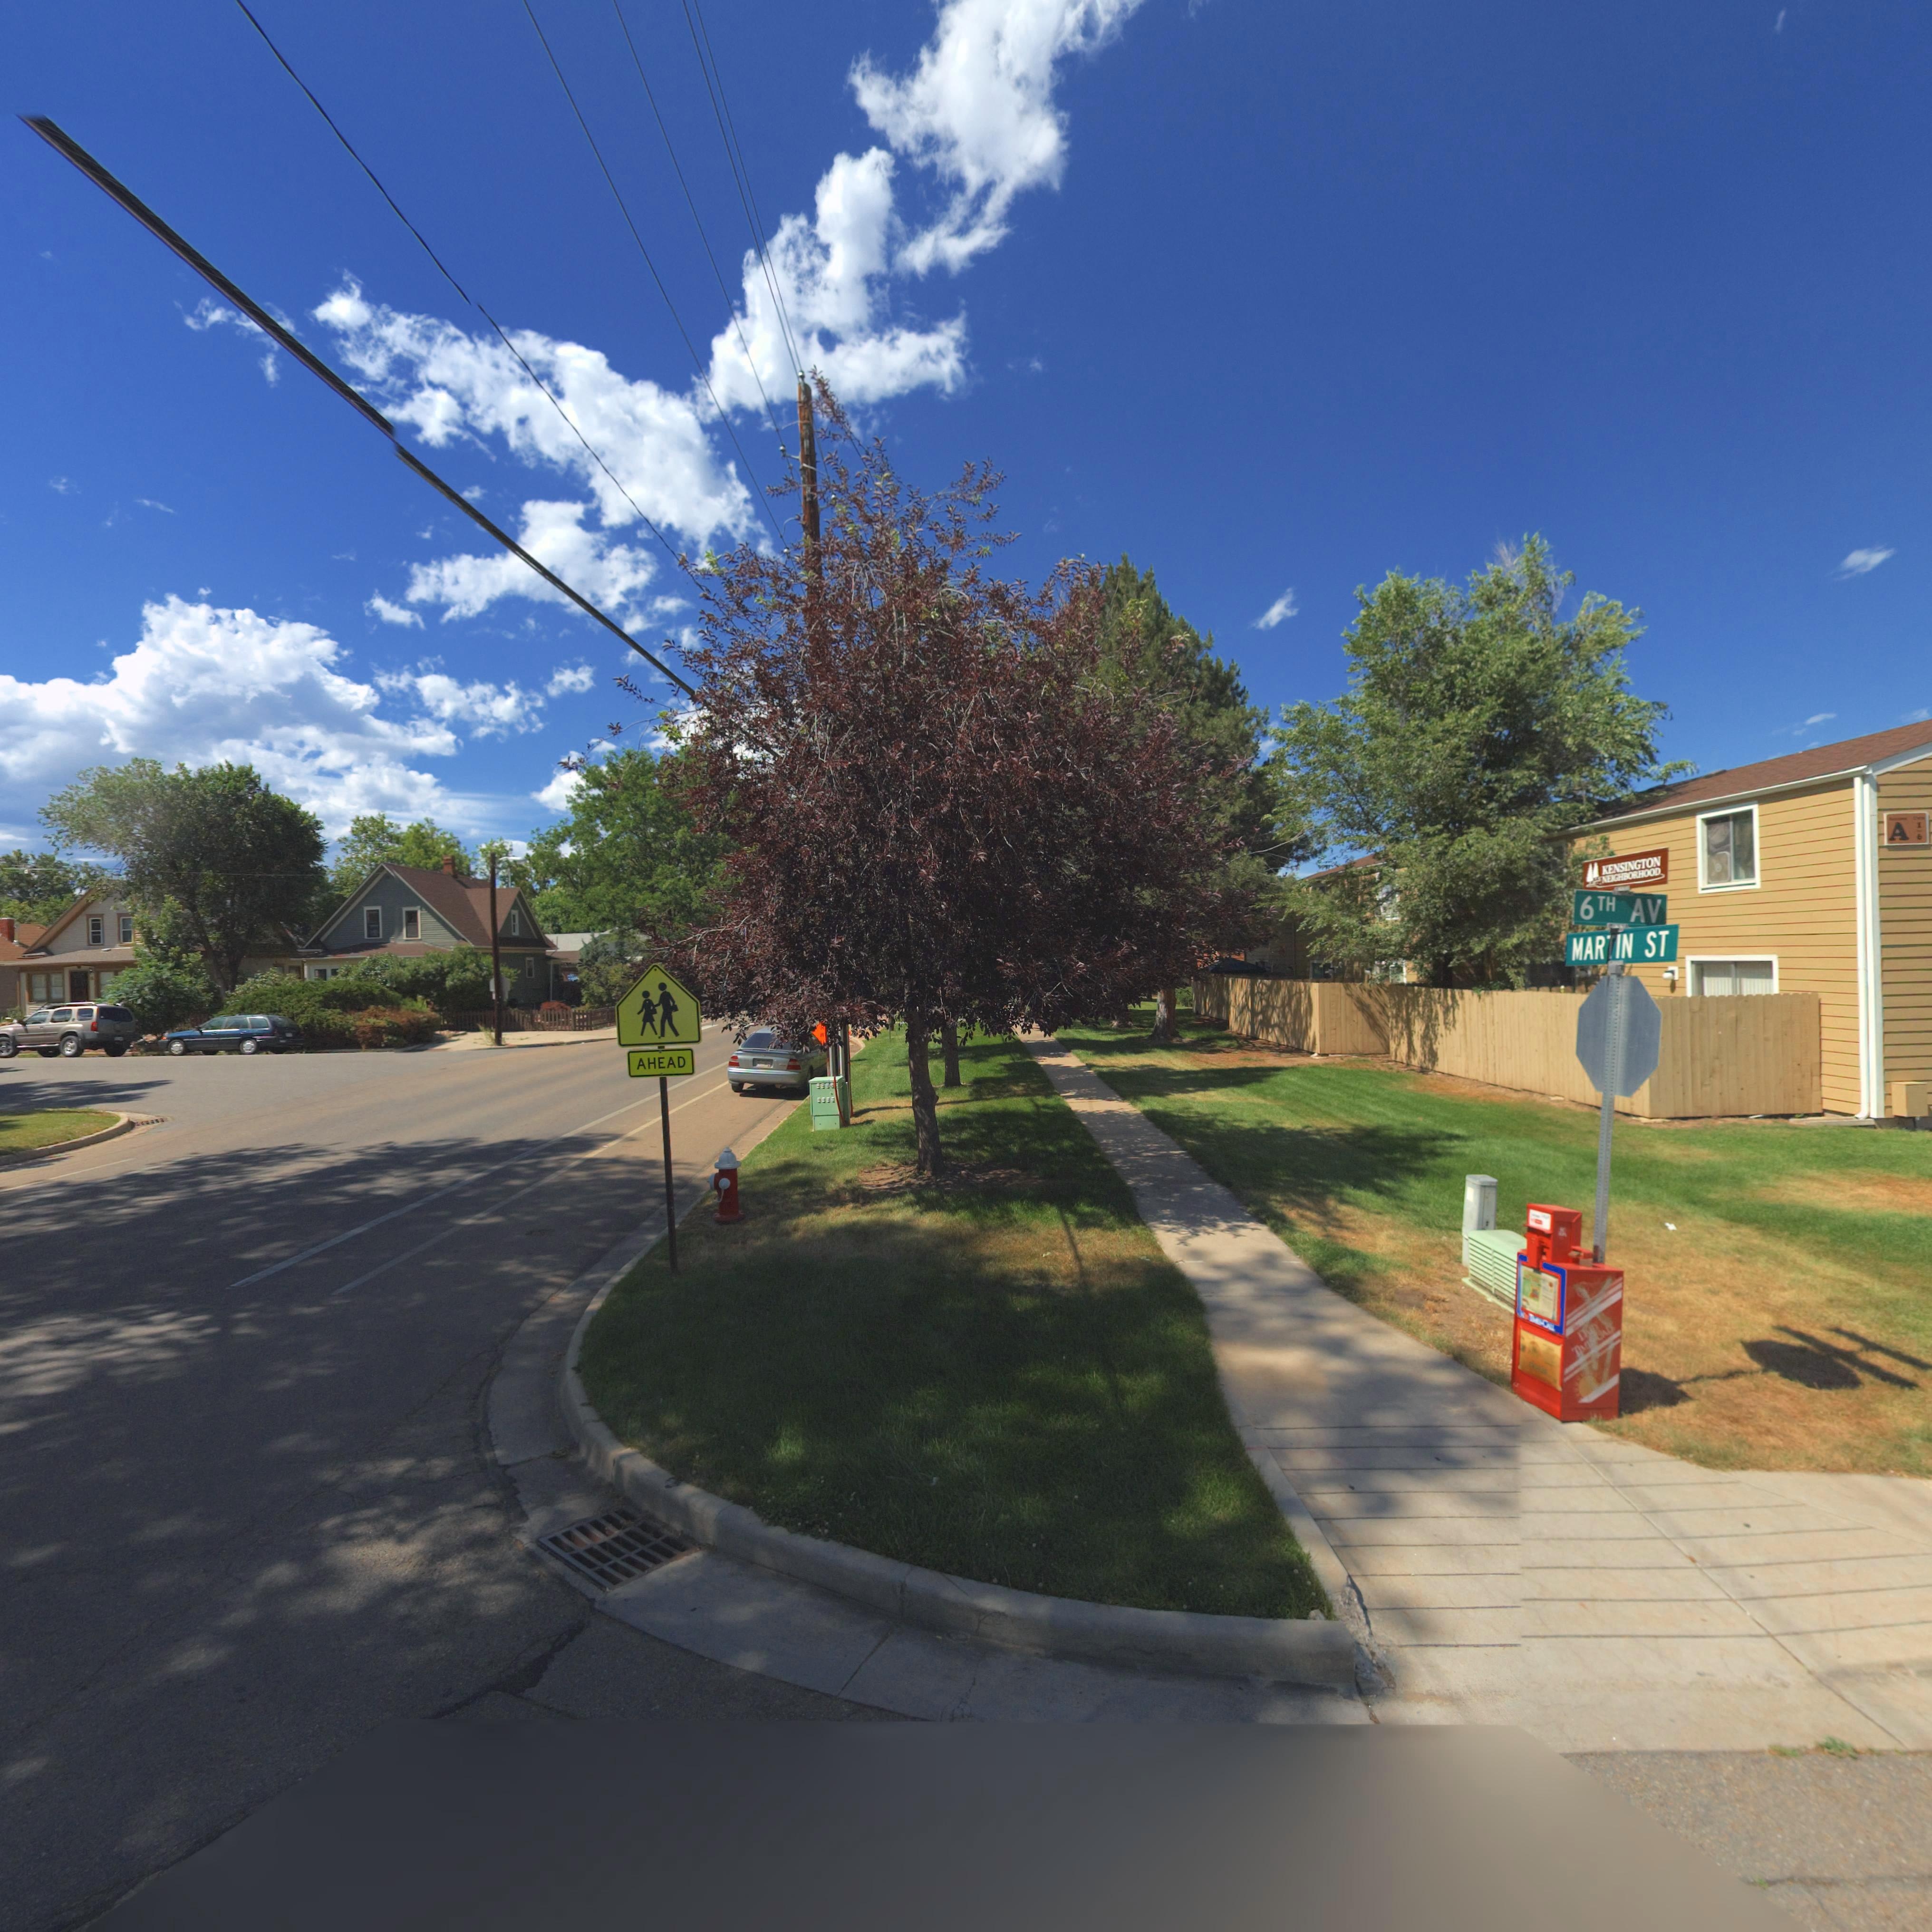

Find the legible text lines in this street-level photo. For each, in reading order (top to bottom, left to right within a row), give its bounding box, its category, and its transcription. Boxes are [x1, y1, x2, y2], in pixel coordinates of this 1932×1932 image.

[1578, 894, 1664, 924] StreetName: 6TH AV
[1571, 929, 1671, 960] StreetName: MARTIN ST
[637, 1056, 686, 1069] BusinessName: AHEAD